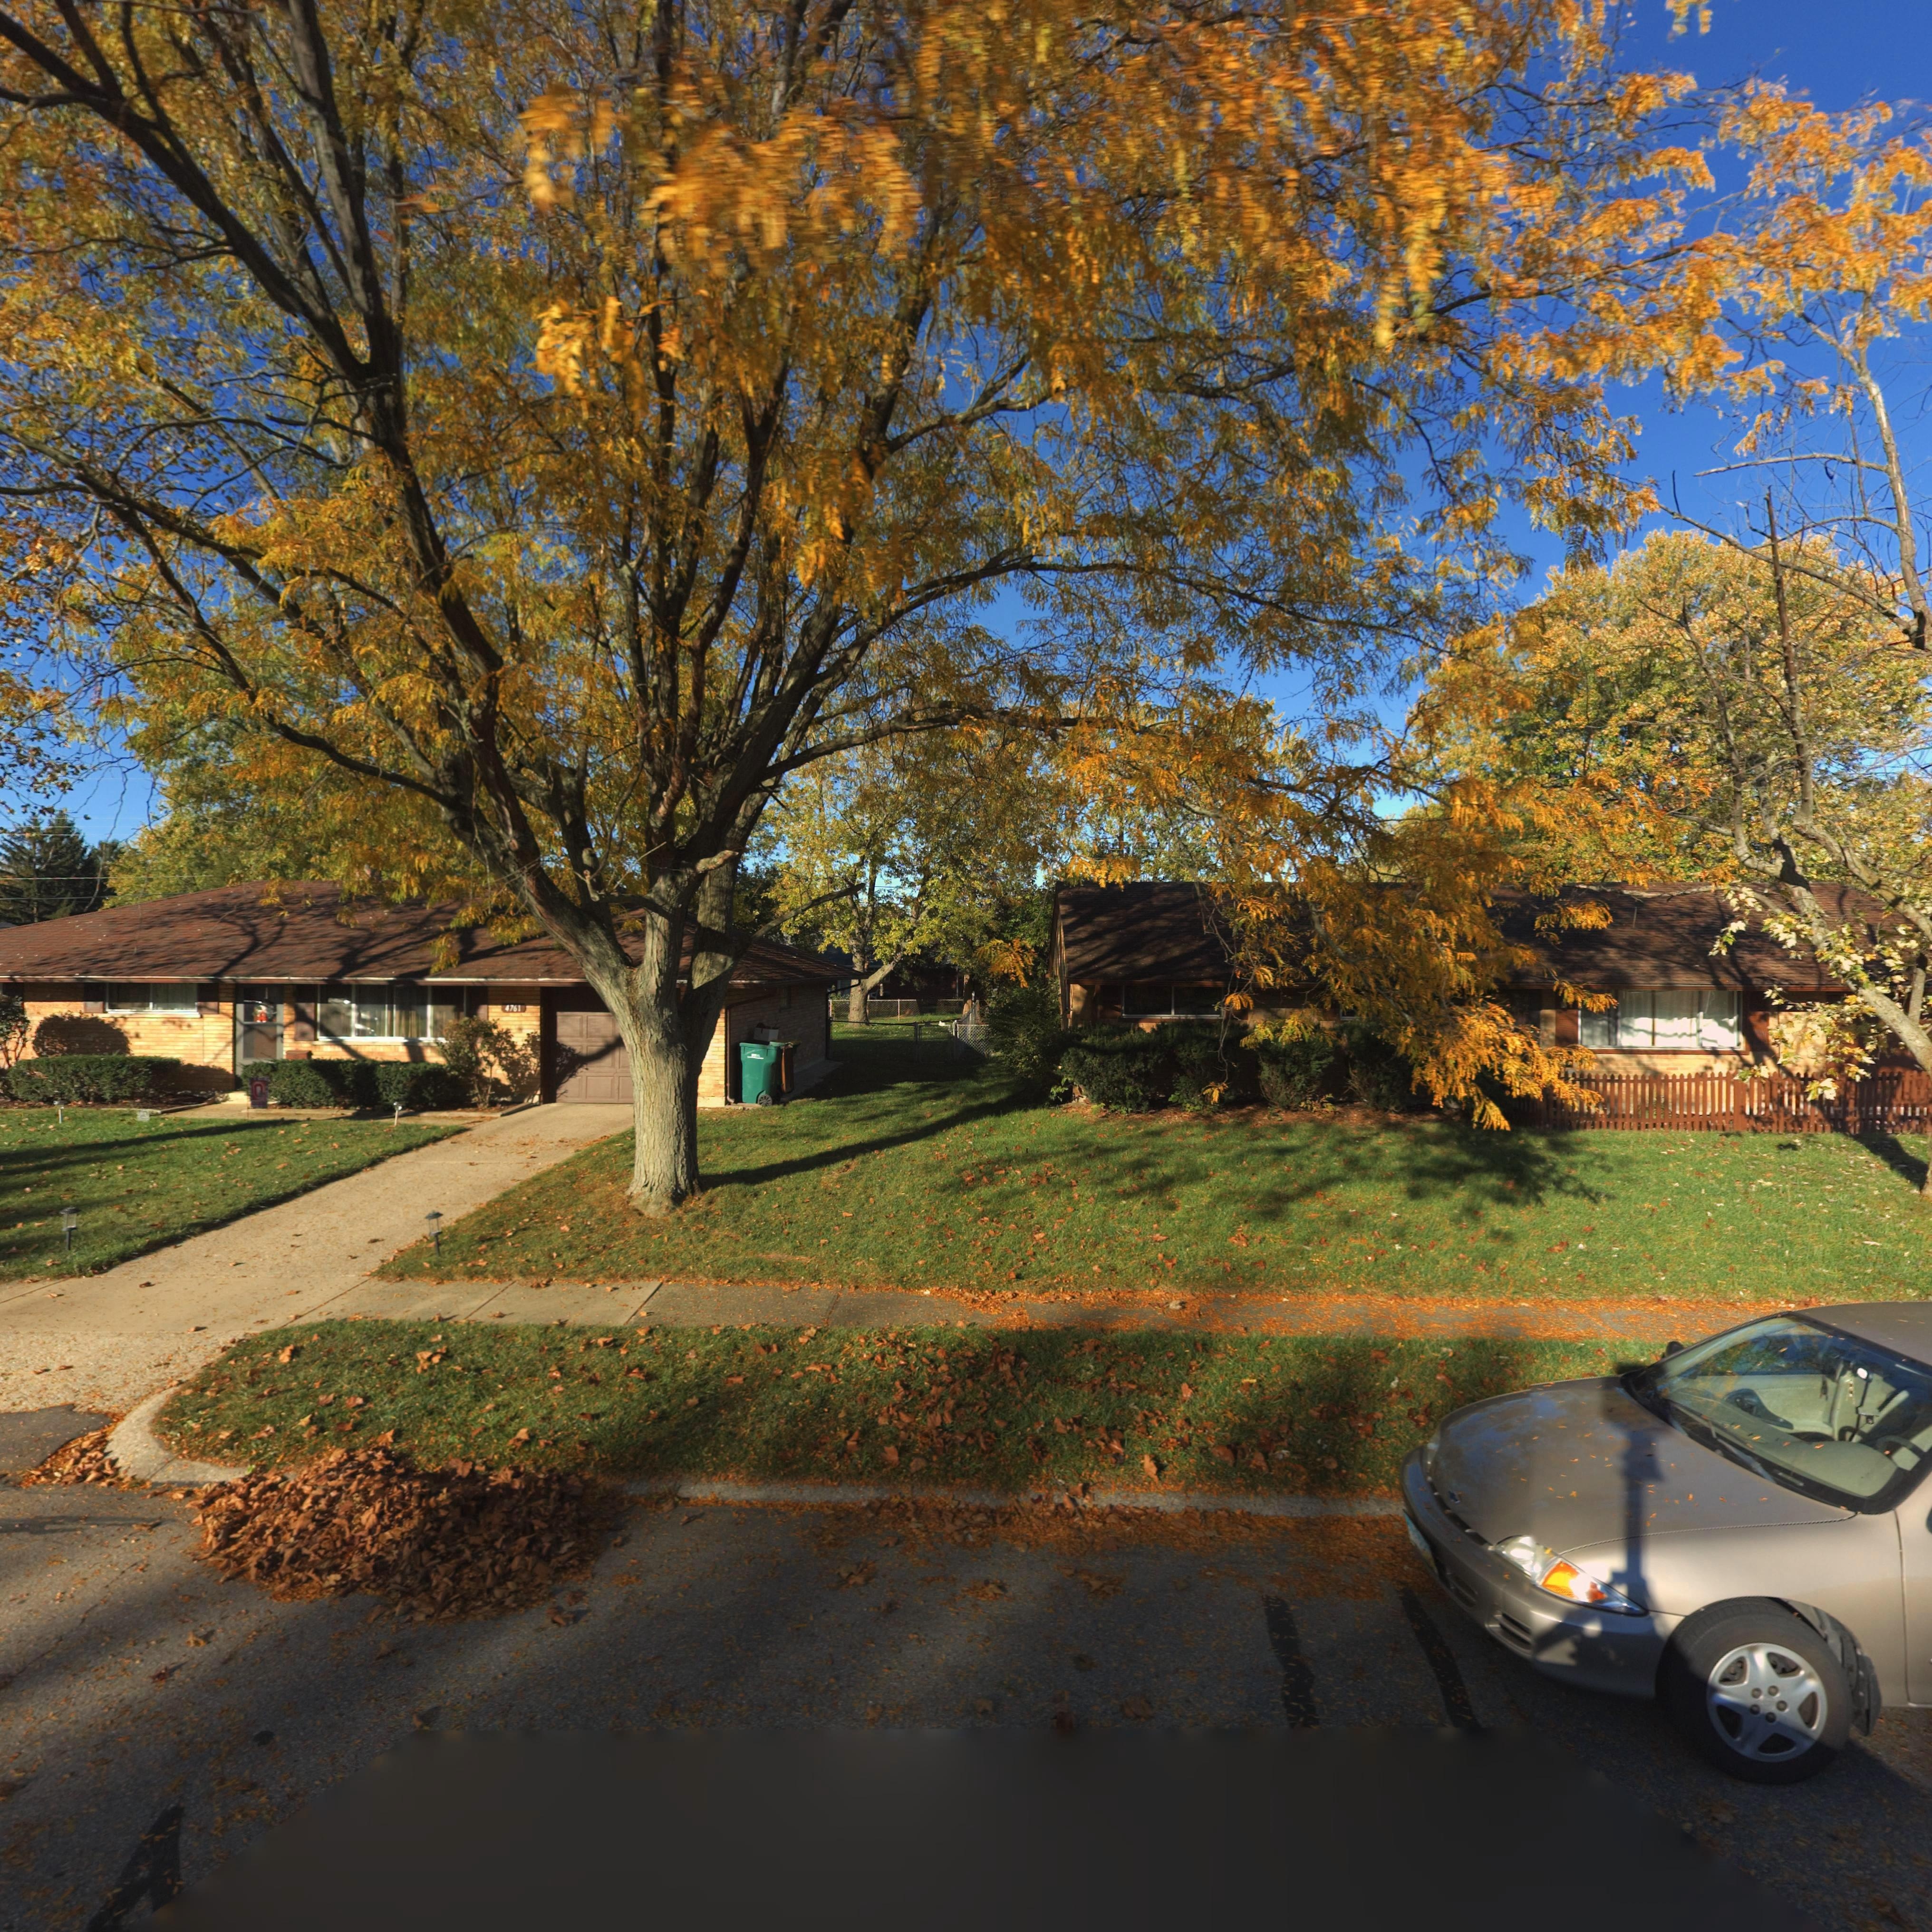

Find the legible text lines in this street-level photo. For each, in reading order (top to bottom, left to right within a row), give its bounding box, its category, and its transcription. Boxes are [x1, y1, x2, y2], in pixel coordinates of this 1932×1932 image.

[504, 1004, 522, 1012] StreetNumber: 4761